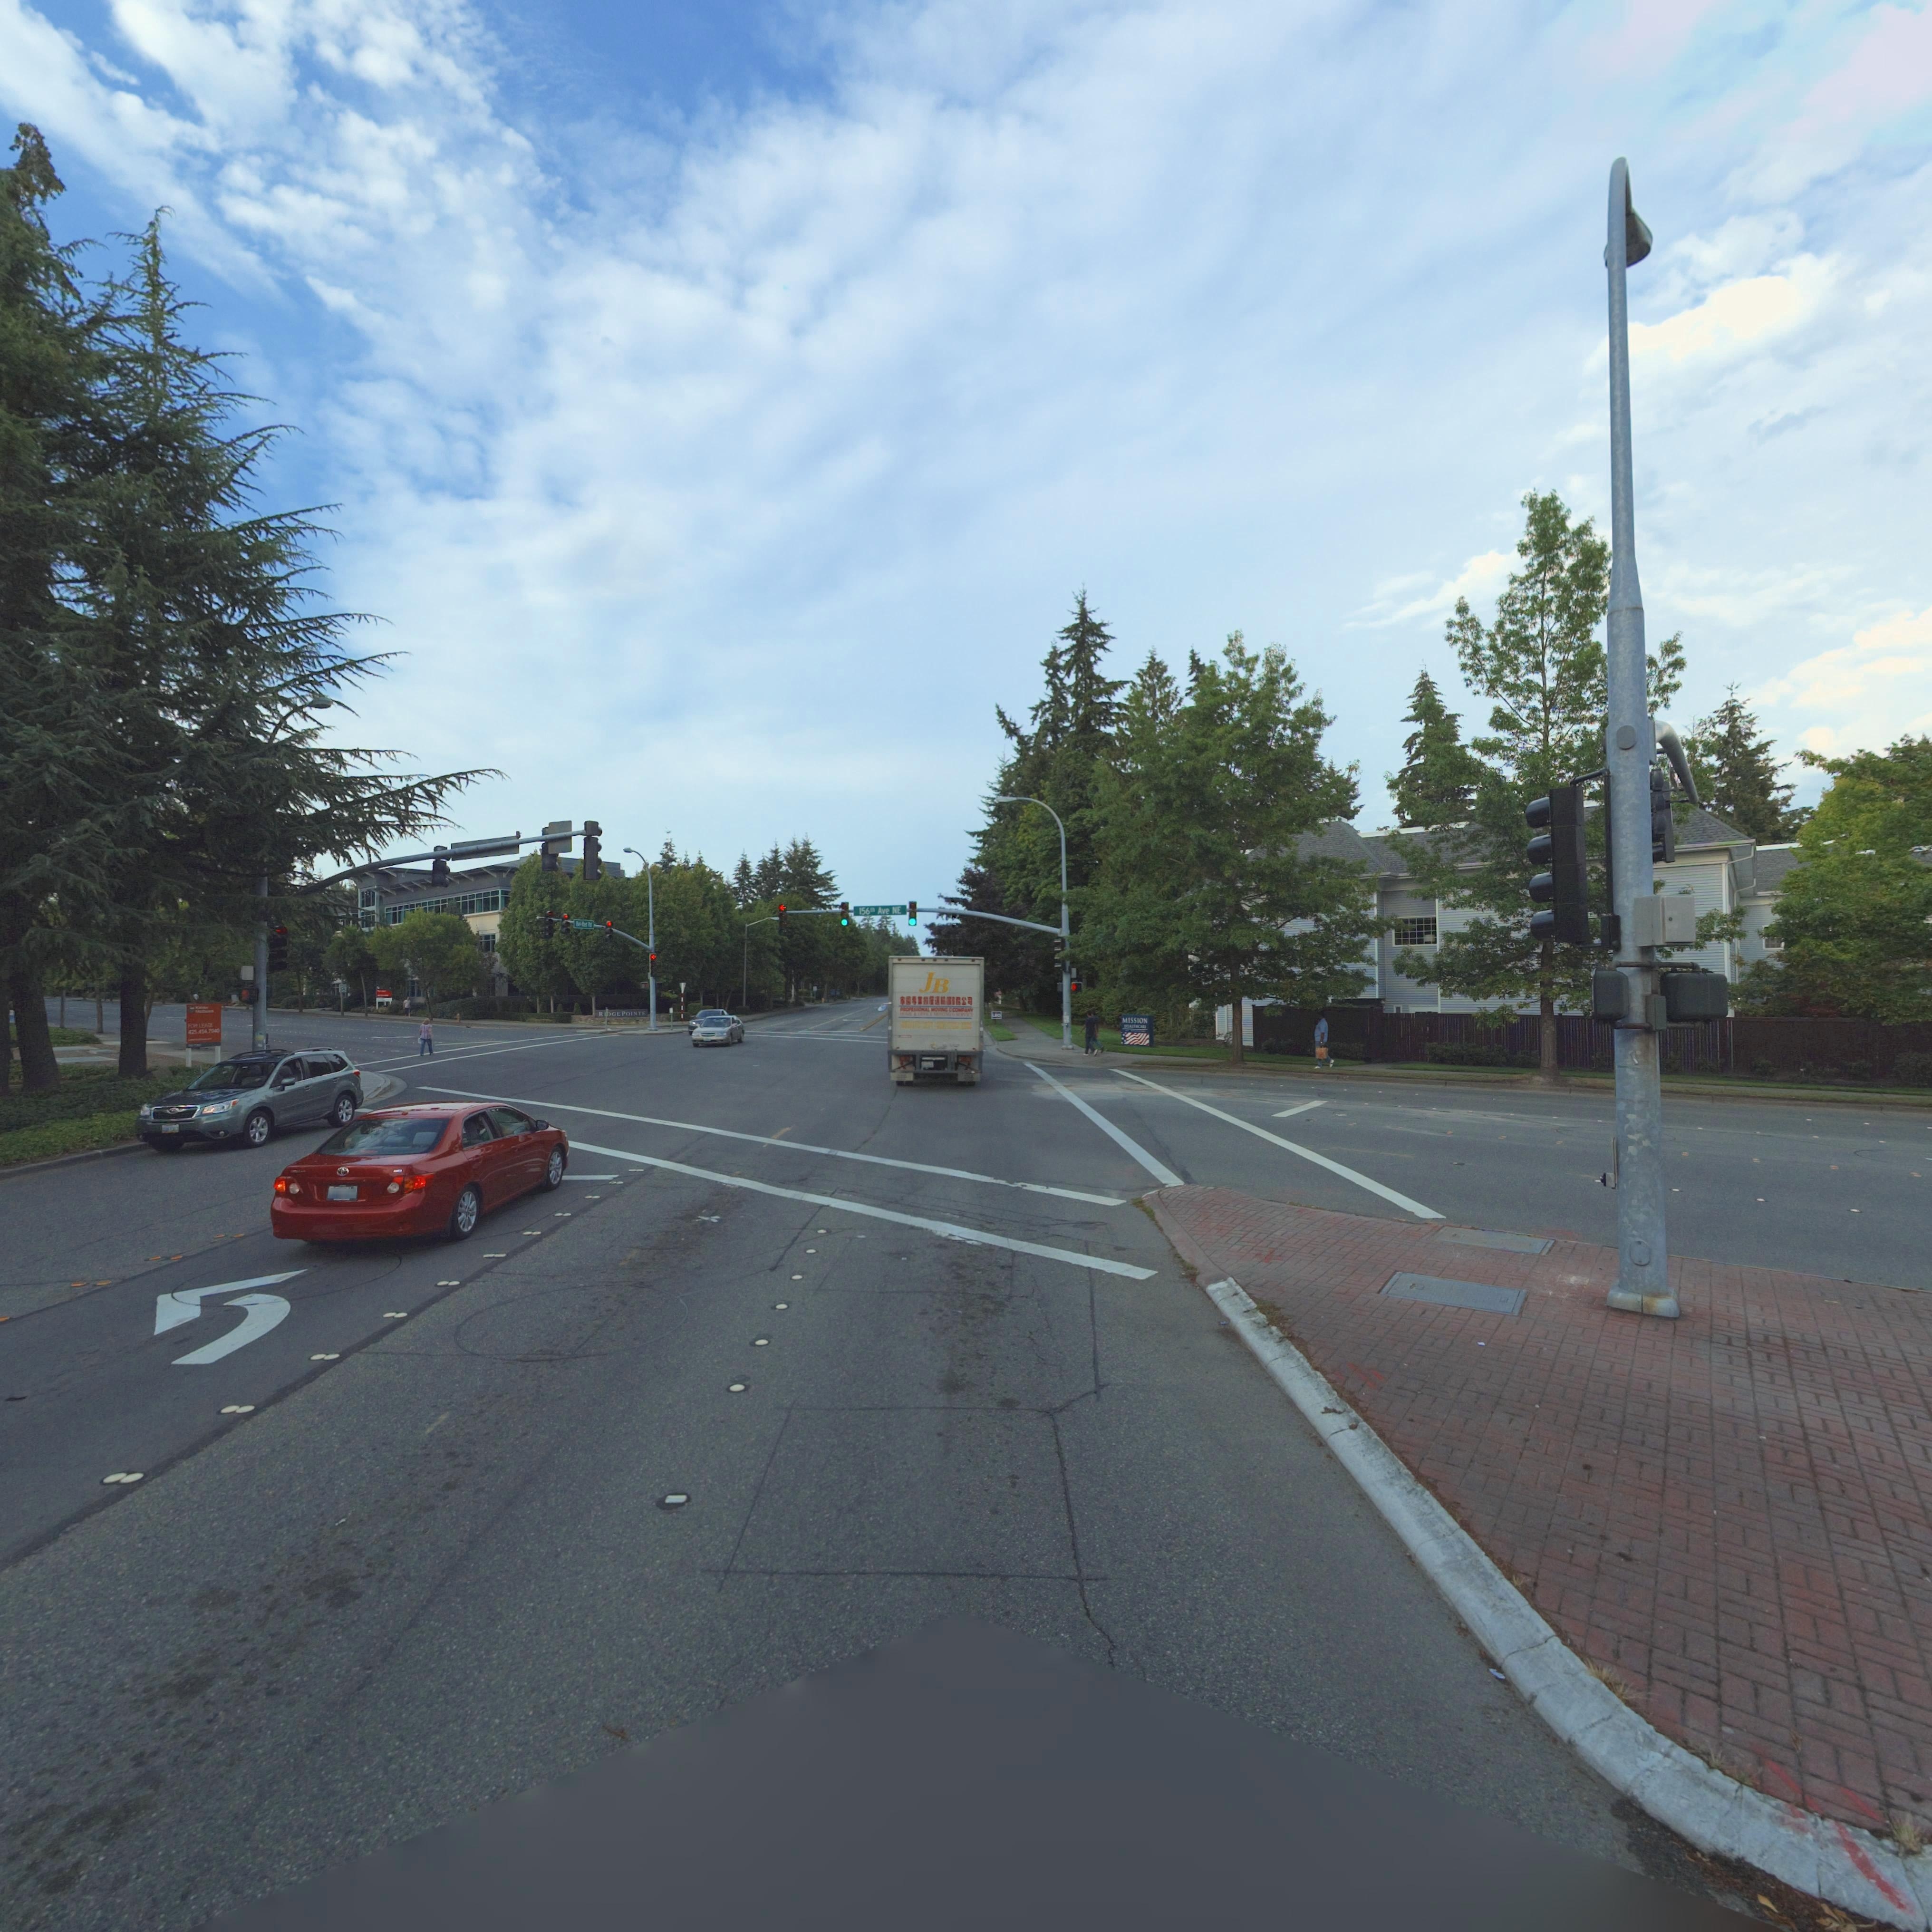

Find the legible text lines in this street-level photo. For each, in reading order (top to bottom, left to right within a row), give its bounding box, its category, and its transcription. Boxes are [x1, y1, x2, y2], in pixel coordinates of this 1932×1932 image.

[858, 906, 903, 915] StreetName: 156** Ave NE
[599, 1012, 620, 1017] None: RIDGE
[621, 1010, 646, 1016] None: POINTE